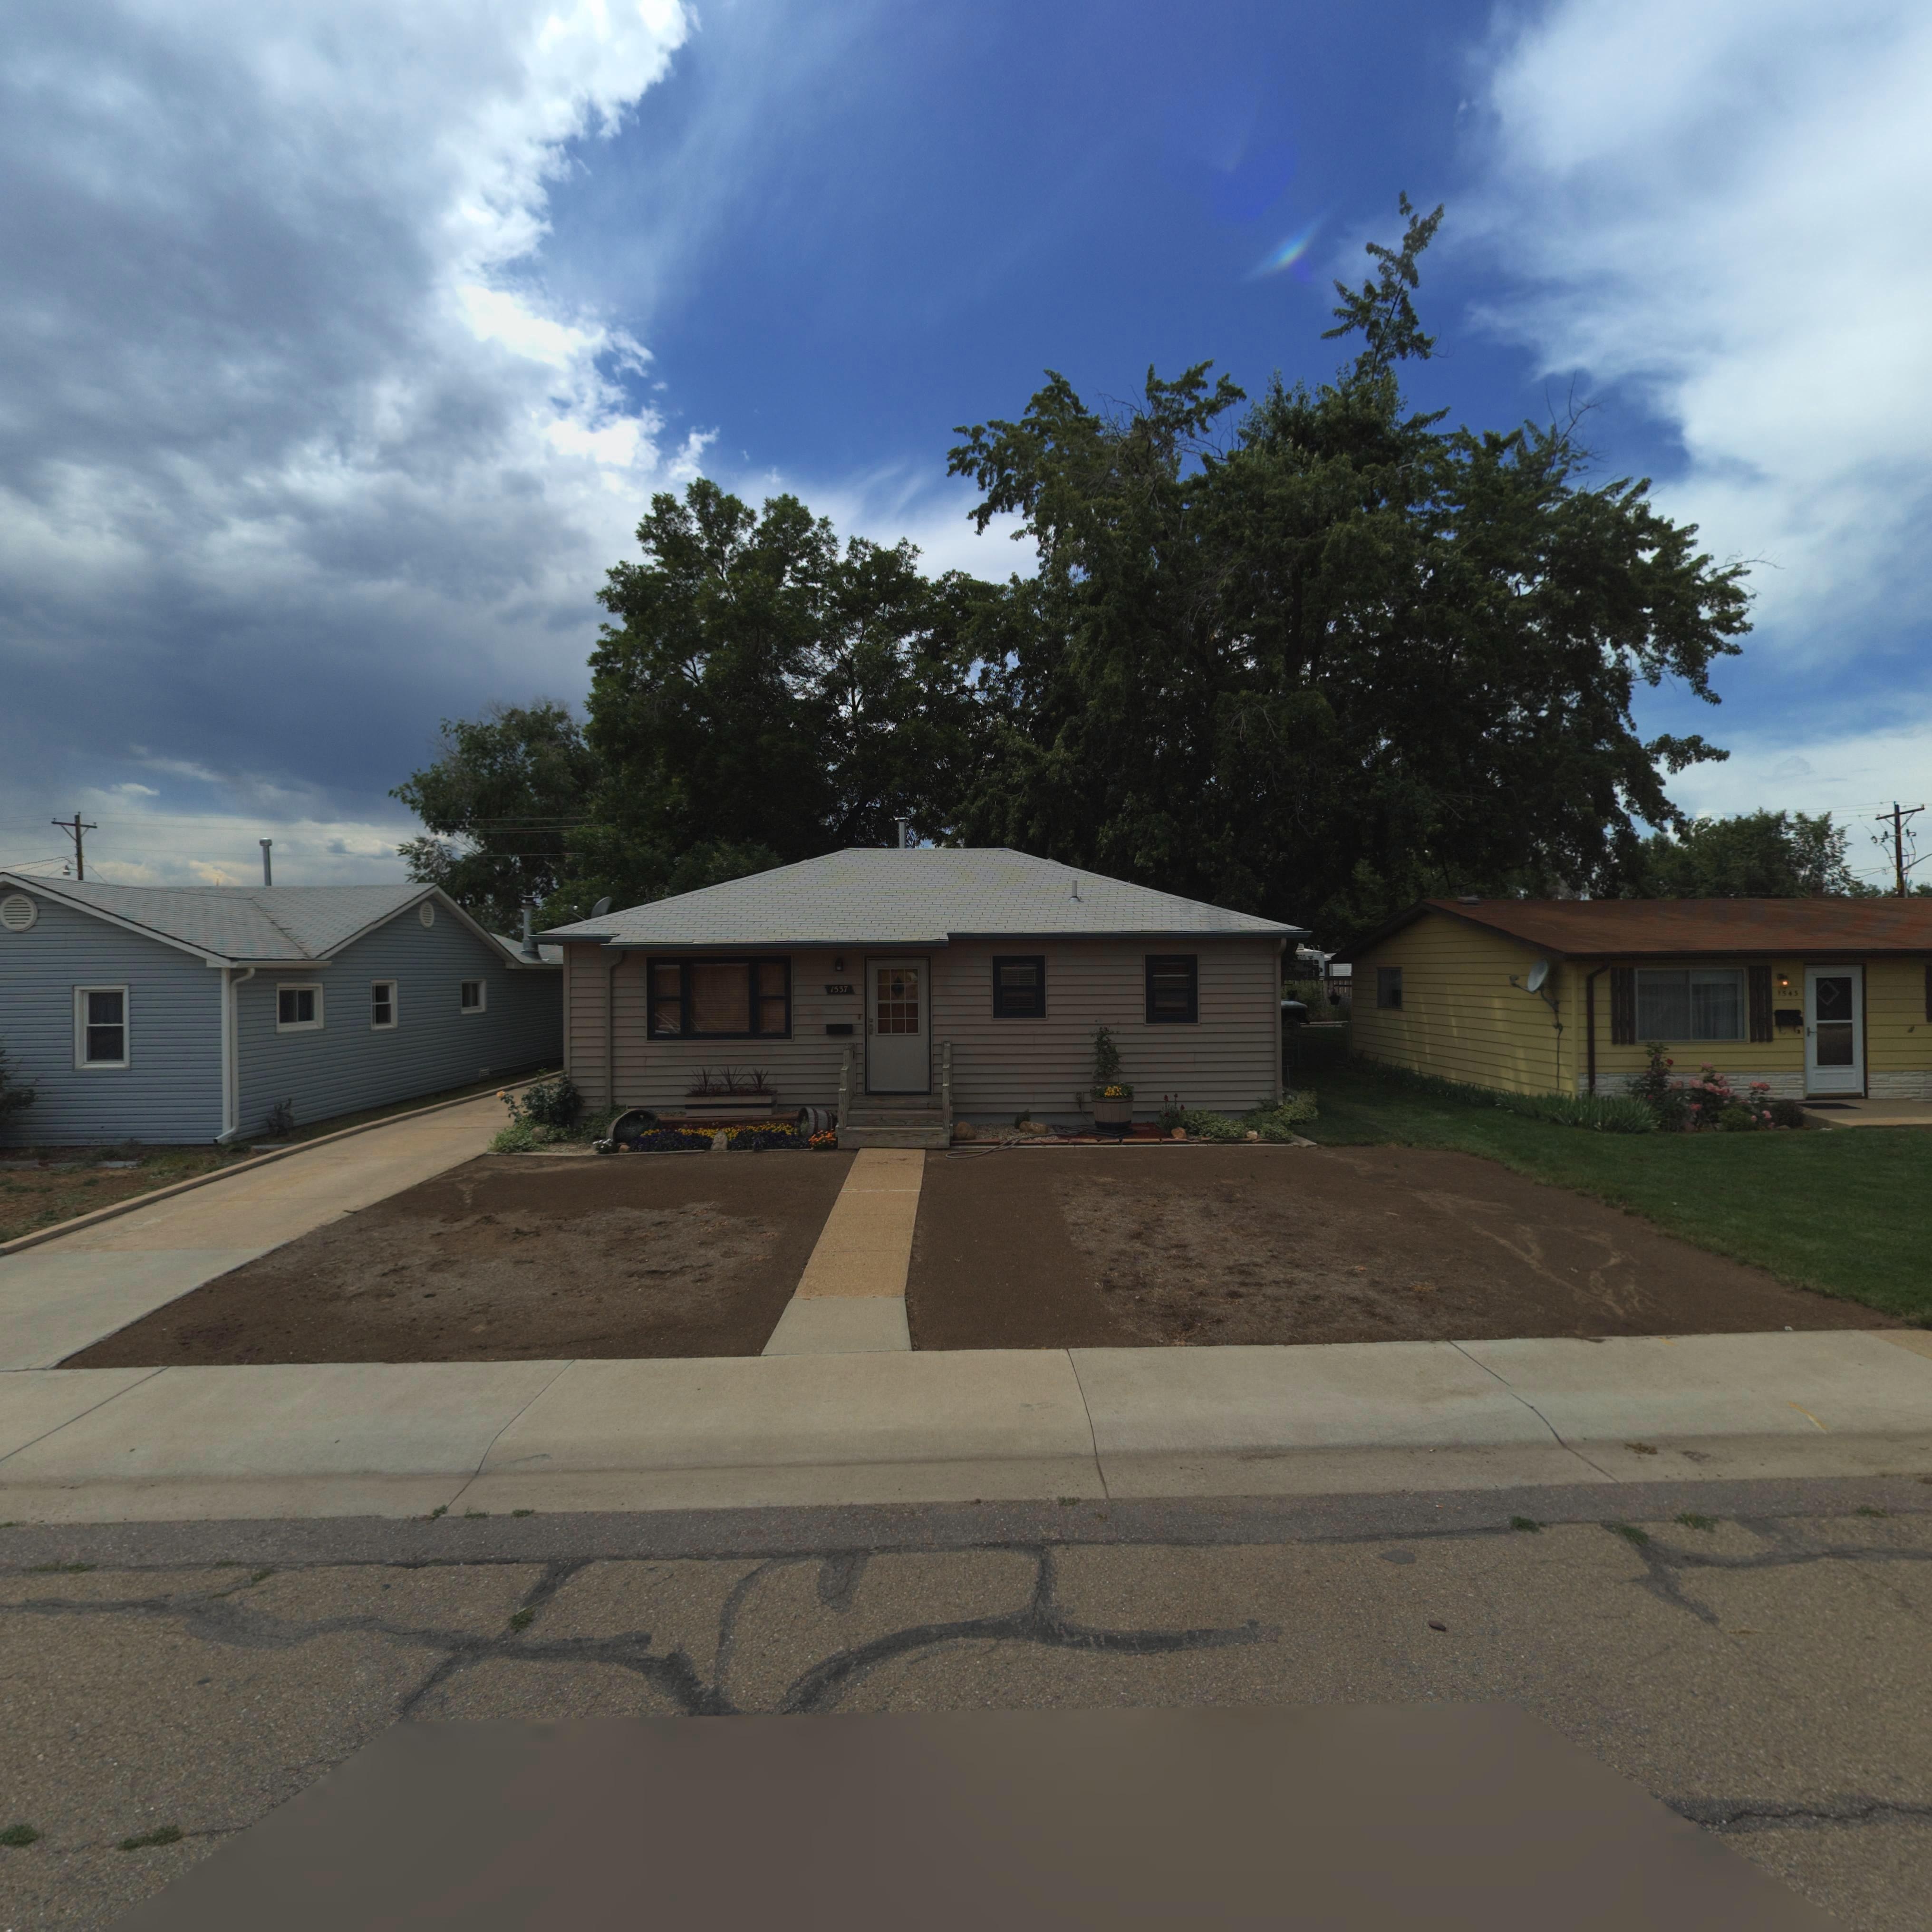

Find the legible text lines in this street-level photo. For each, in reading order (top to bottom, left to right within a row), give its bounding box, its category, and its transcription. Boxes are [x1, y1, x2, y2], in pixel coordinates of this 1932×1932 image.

[830, 985, 849, 993] StreetNumber: 1537
[1777, 990, 1799, 997] StreetNumber: 1545